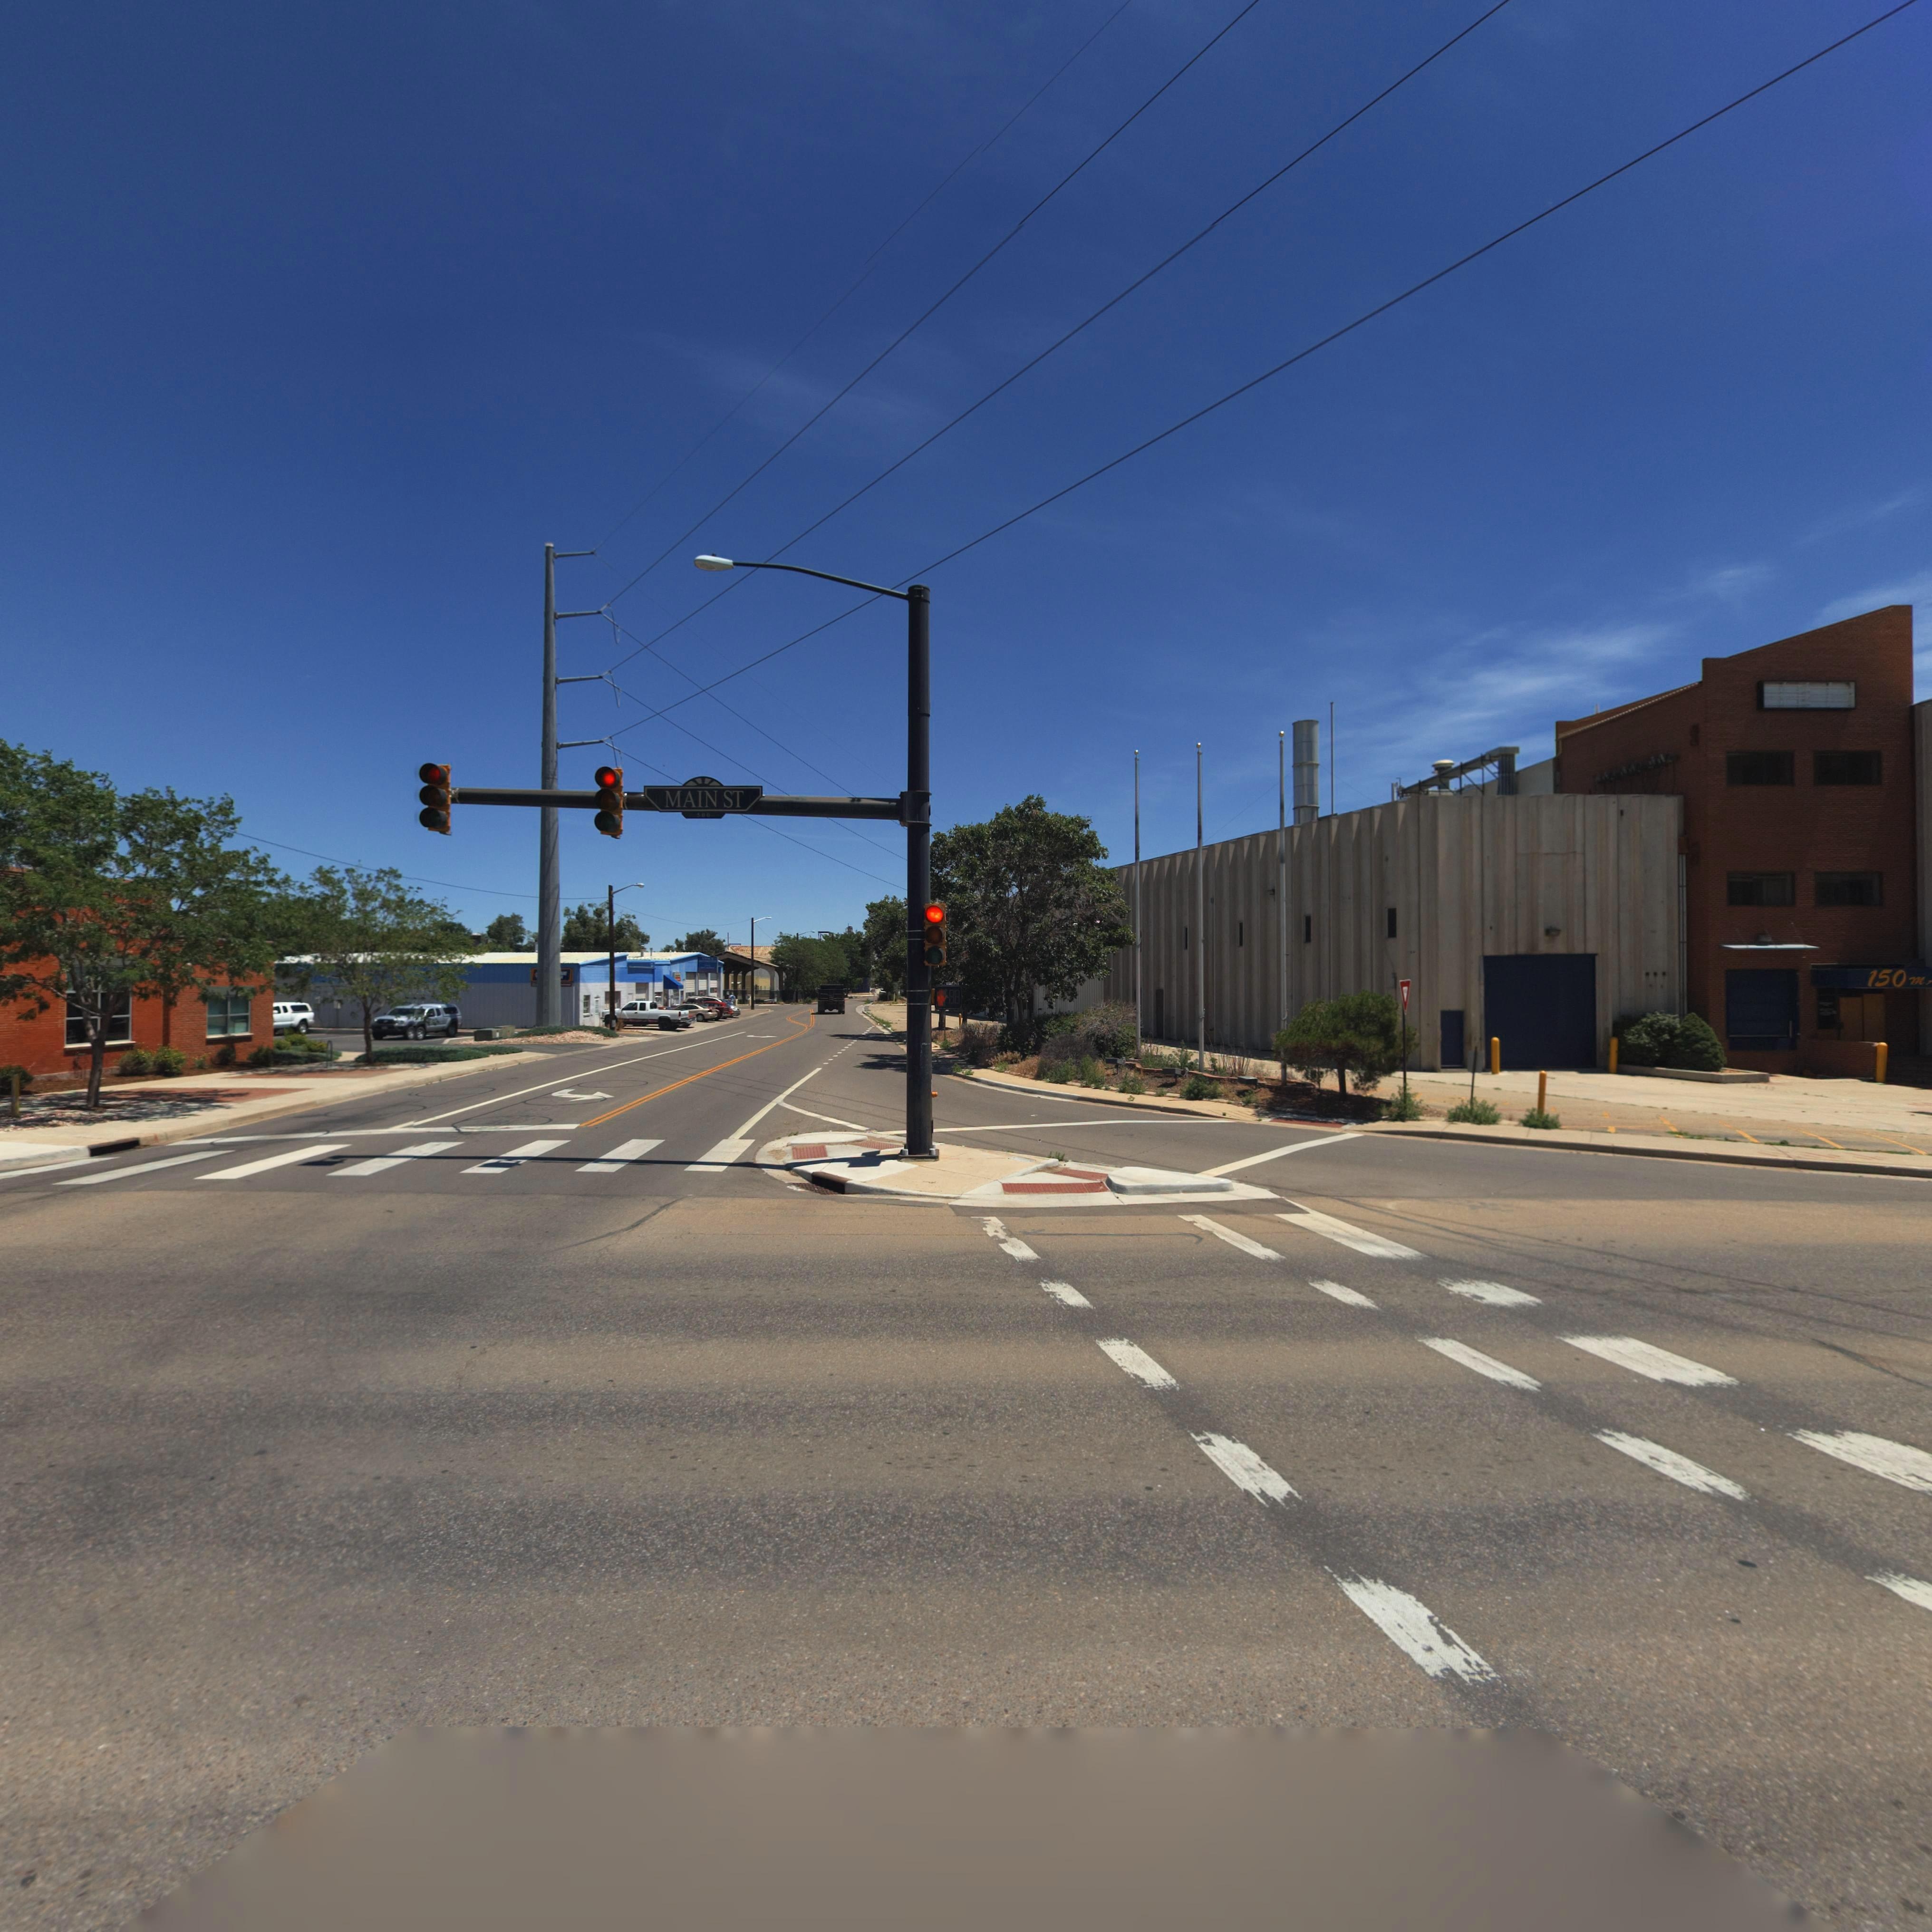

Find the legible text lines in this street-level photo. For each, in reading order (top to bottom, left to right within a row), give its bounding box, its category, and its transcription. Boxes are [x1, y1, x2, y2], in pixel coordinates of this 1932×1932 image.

[665, 791, 743, 807] StreetName: MAIN ST
[694, 810, 712, 818] StreetNumberRange: 500
[1865, 968, 1906, 988] StreetNumber: 150
[1908, 976, 1926, 985] StreetName: M